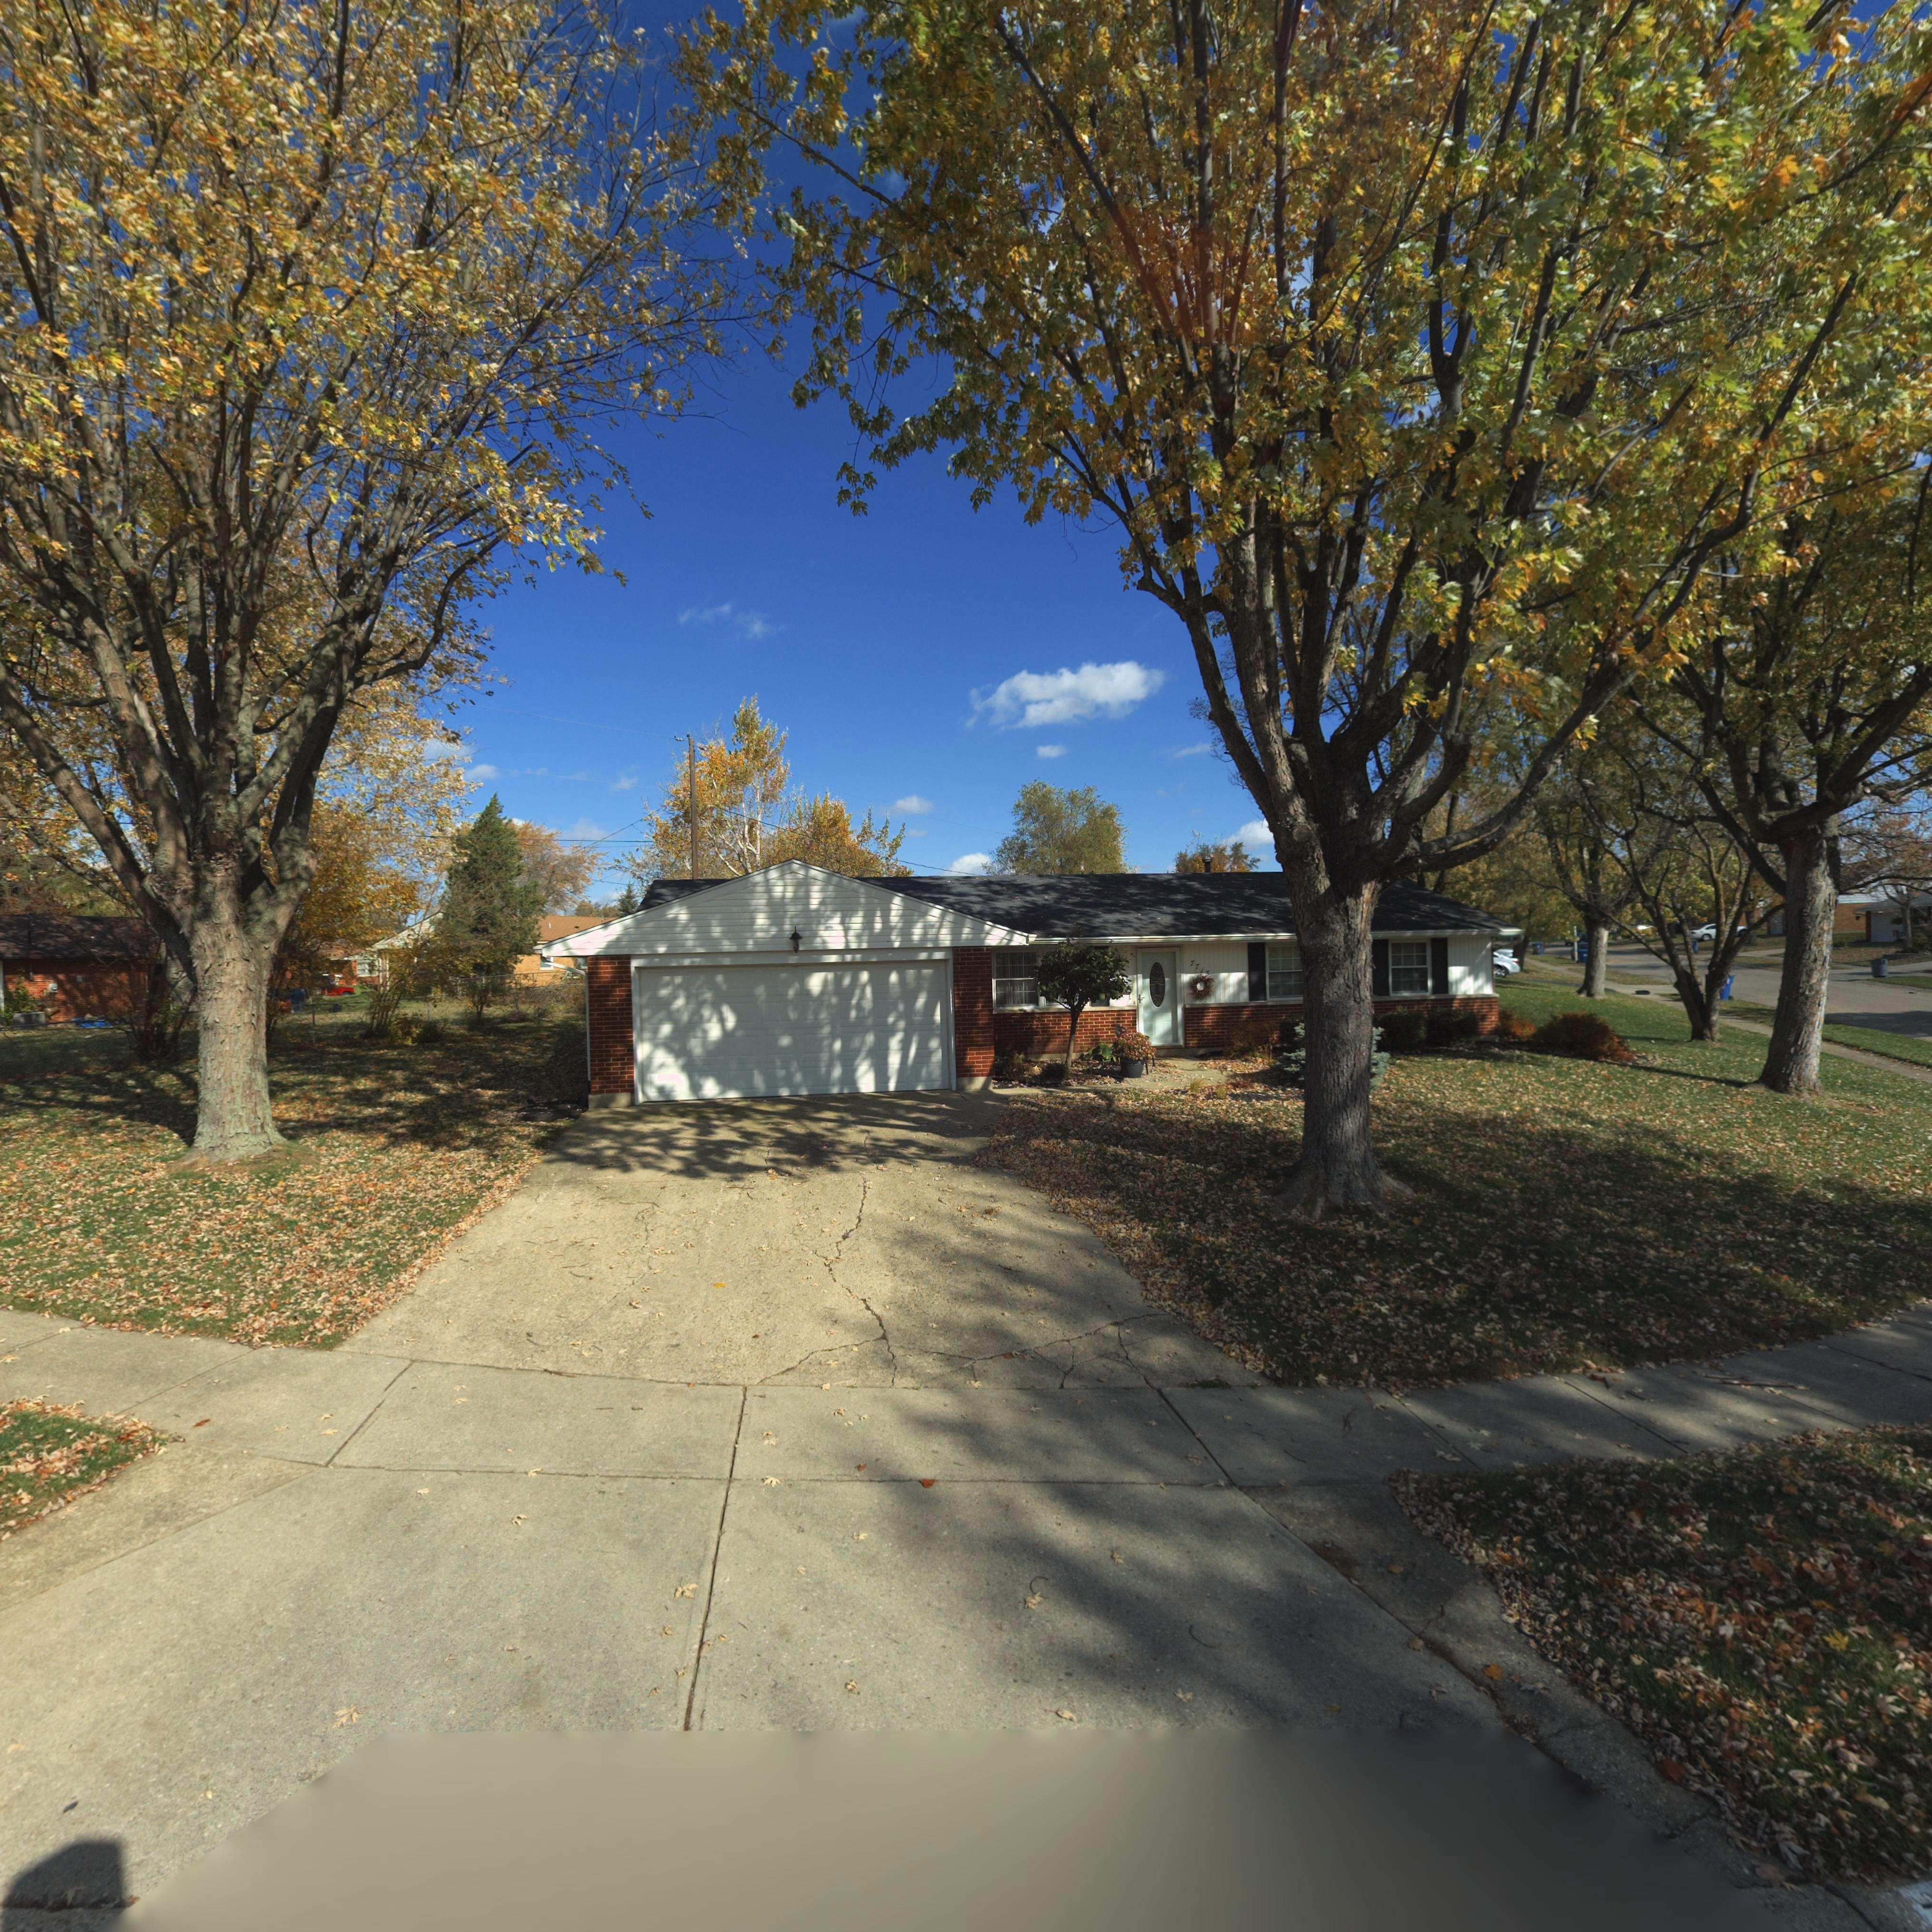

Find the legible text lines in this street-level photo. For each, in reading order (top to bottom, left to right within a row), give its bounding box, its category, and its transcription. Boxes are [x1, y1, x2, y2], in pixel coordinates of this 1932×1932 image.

[1189, 959, 1211, 978] StreetNumber: 7715